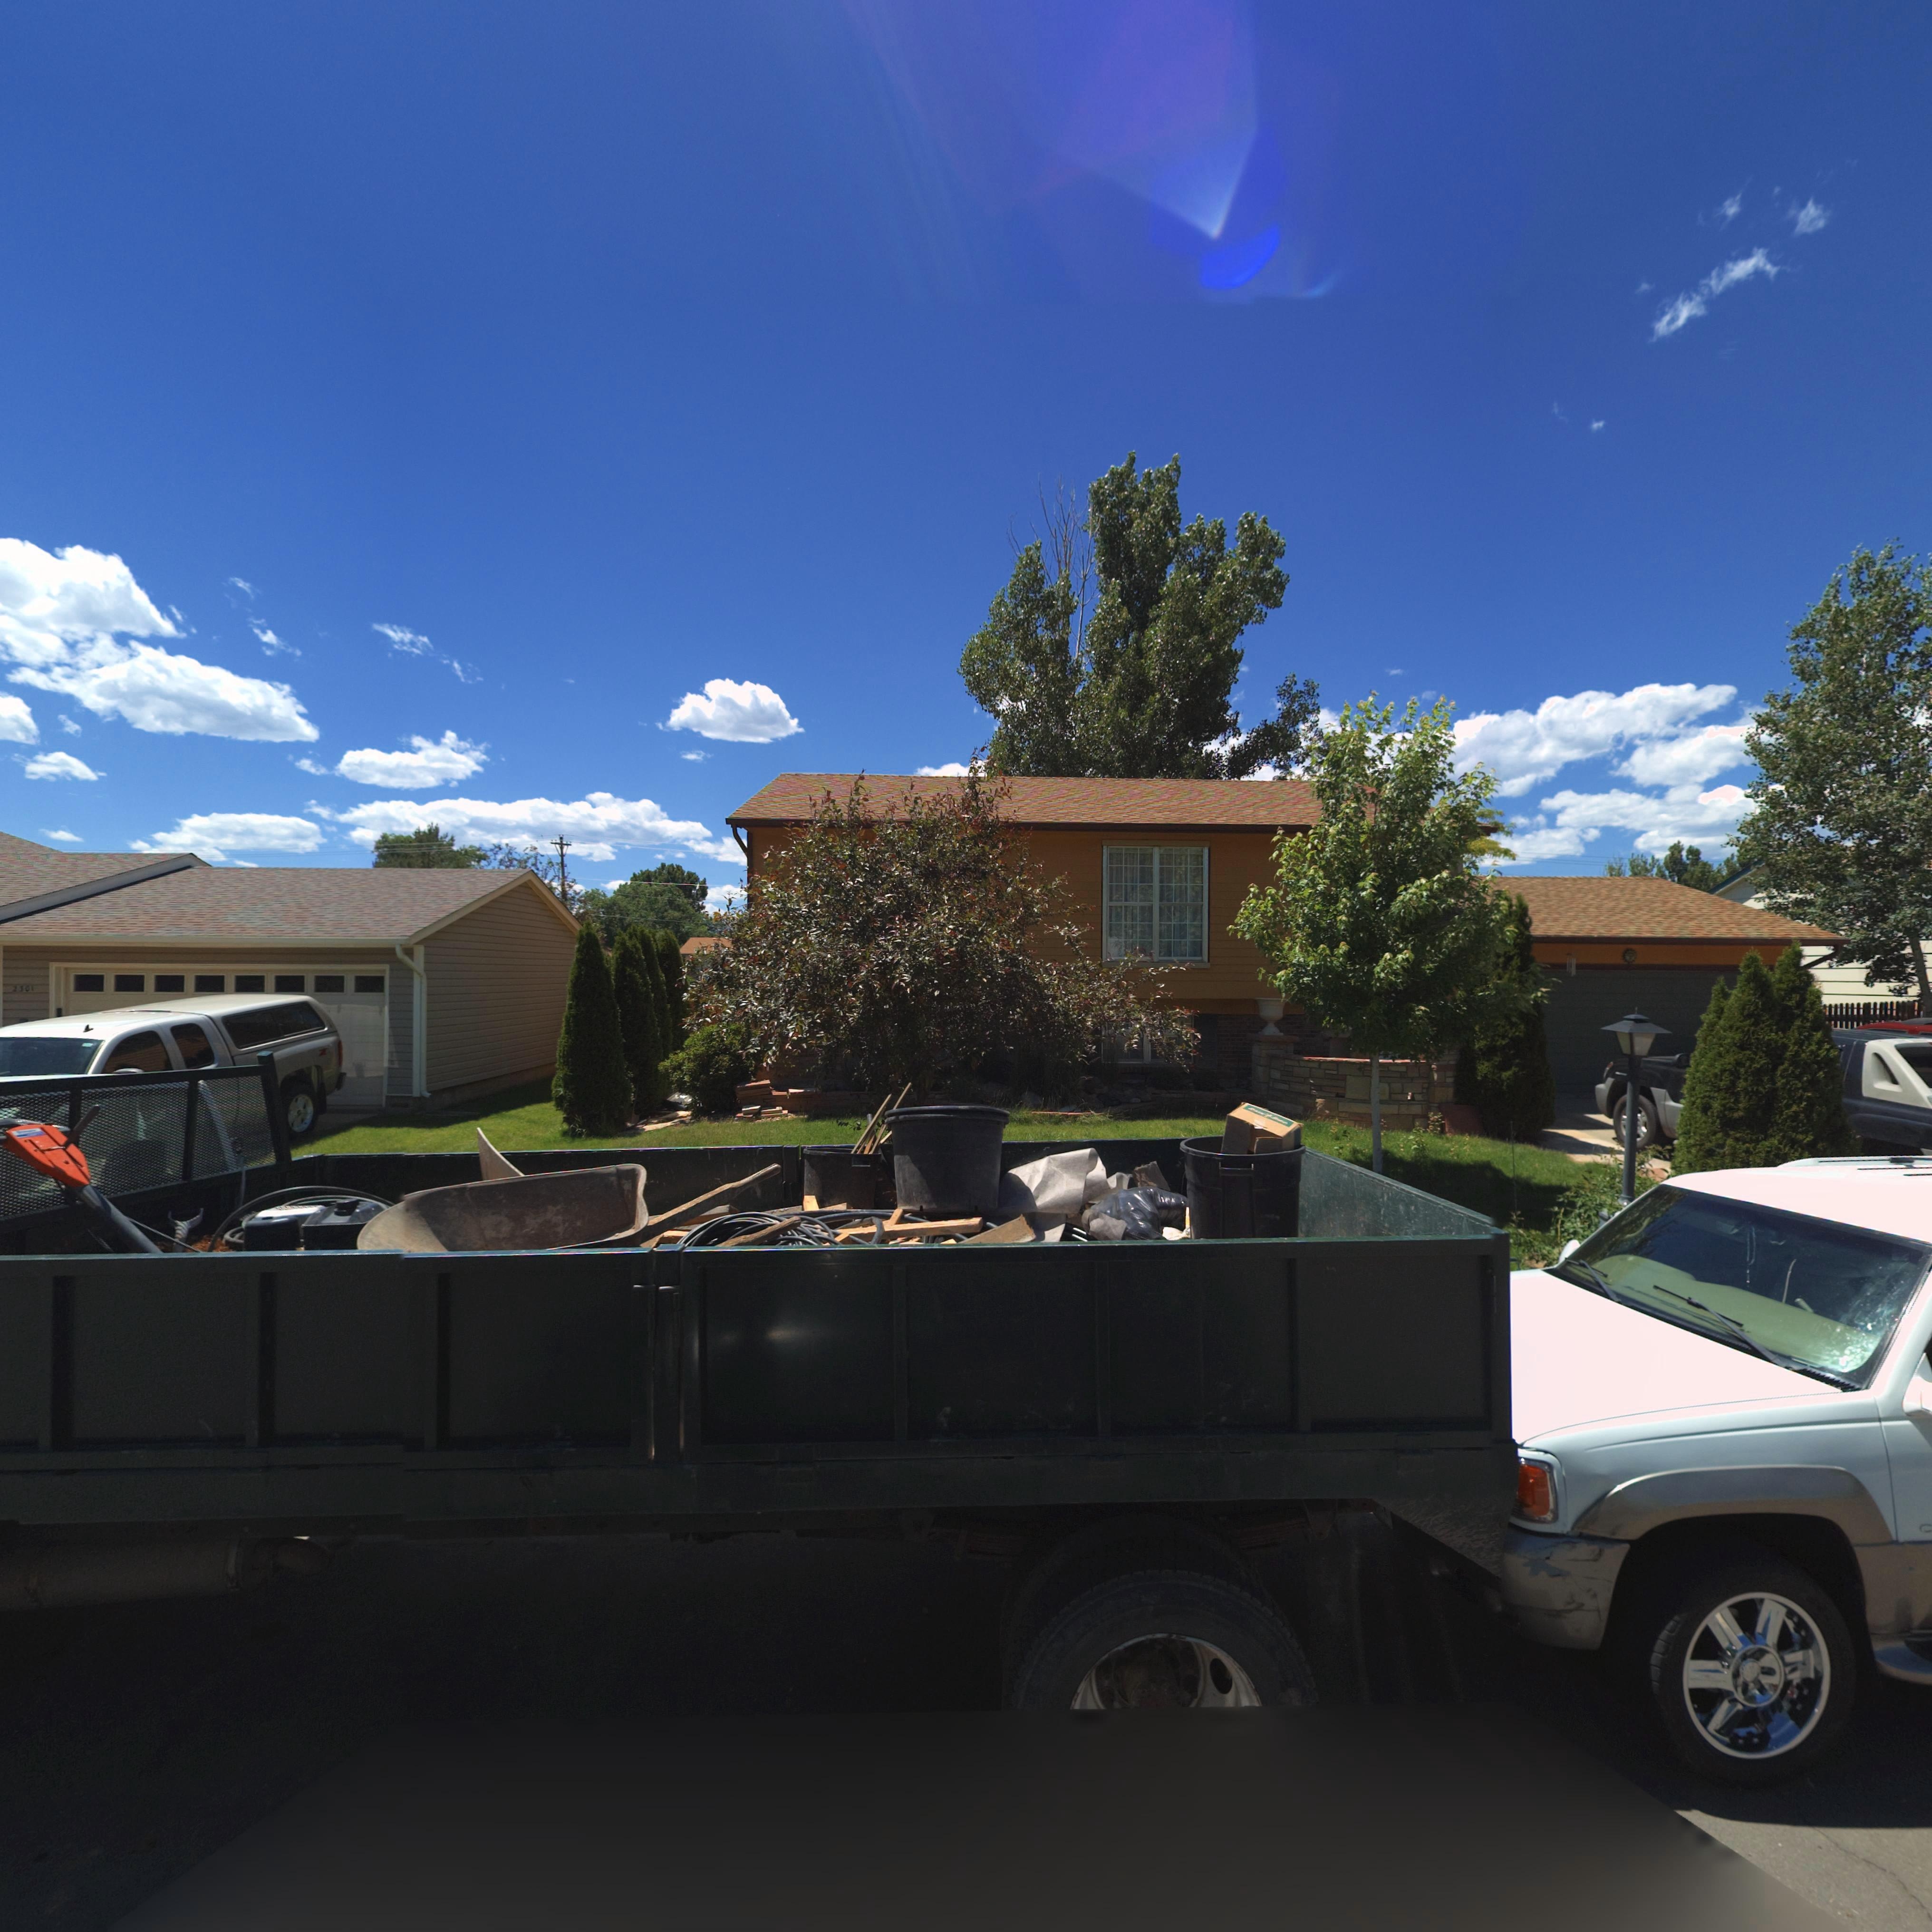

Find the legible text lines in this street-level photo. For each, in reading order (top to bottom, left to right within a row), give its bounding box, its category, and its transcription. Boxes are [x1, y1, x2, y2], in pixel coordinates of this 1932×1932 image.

[12, 985, 34, 992] StreetNumber: 2301